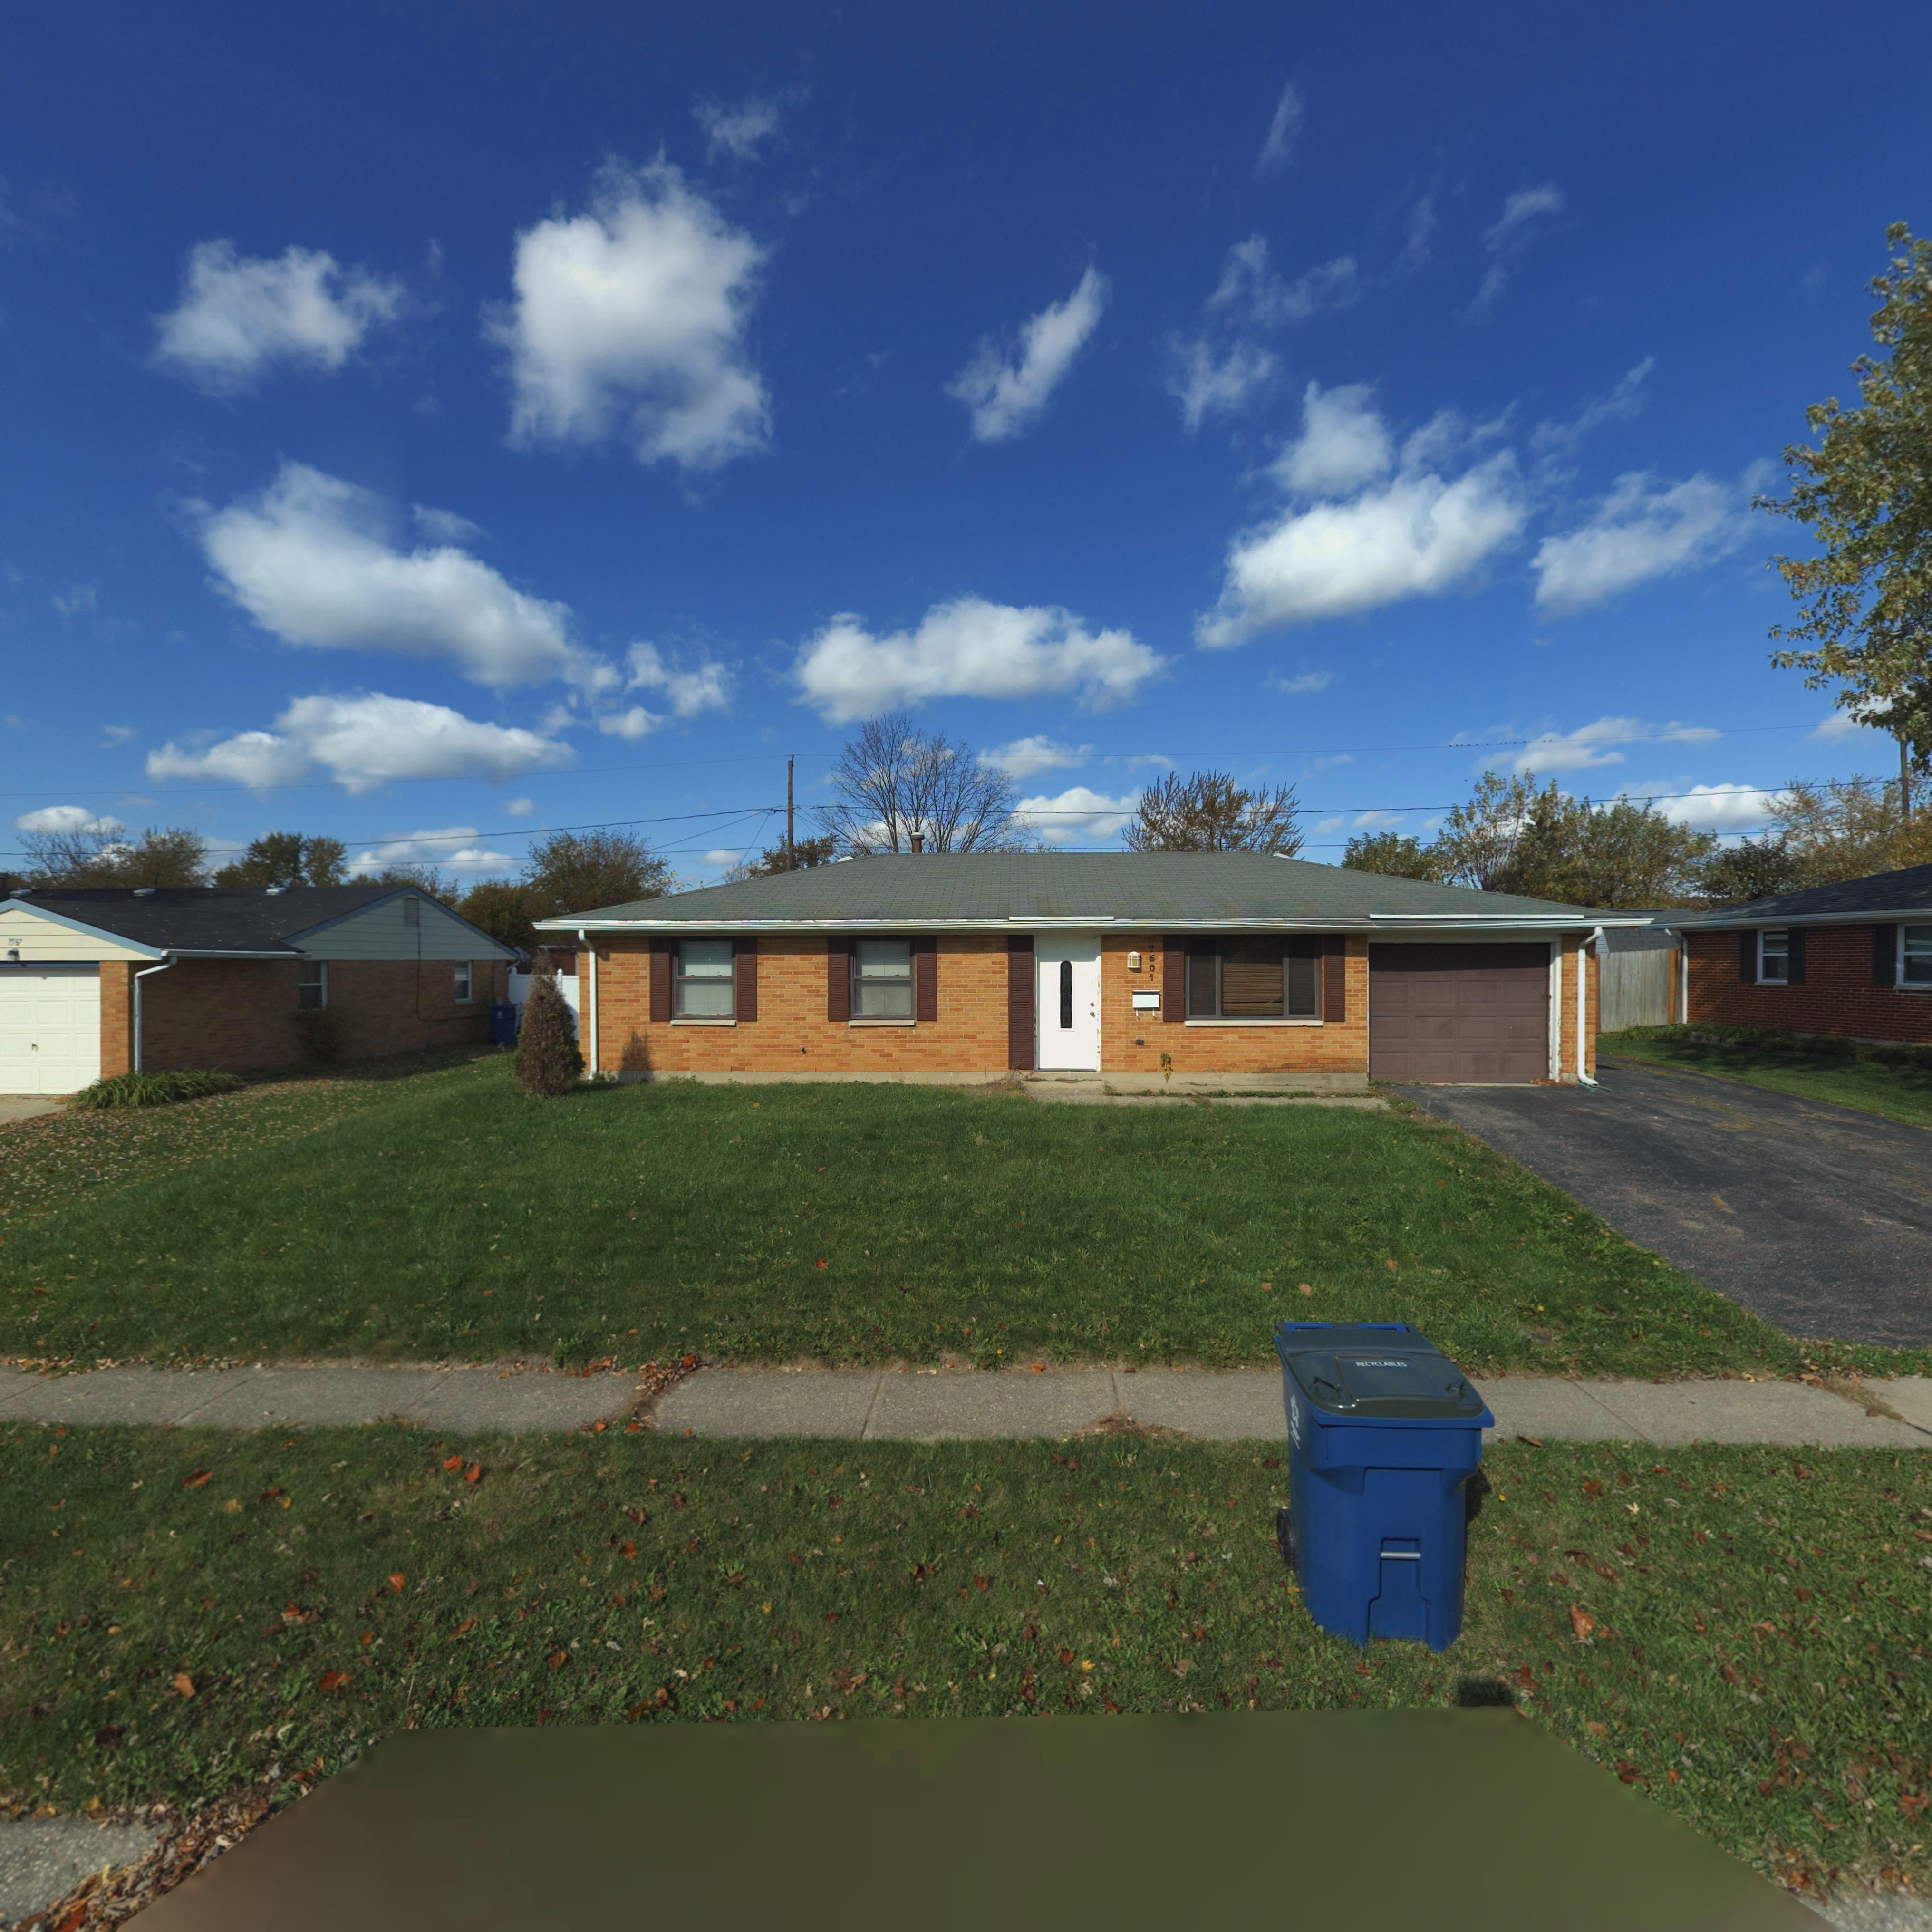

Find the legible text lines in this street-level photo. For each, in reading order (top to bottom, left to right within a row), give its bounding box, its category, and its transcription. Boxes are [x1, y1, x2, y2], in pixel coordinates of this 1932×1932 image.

[7, 938, 23, 946] StreetNumber: 7587
[1148, 945, 1155, 981] StreetNumber: 7601